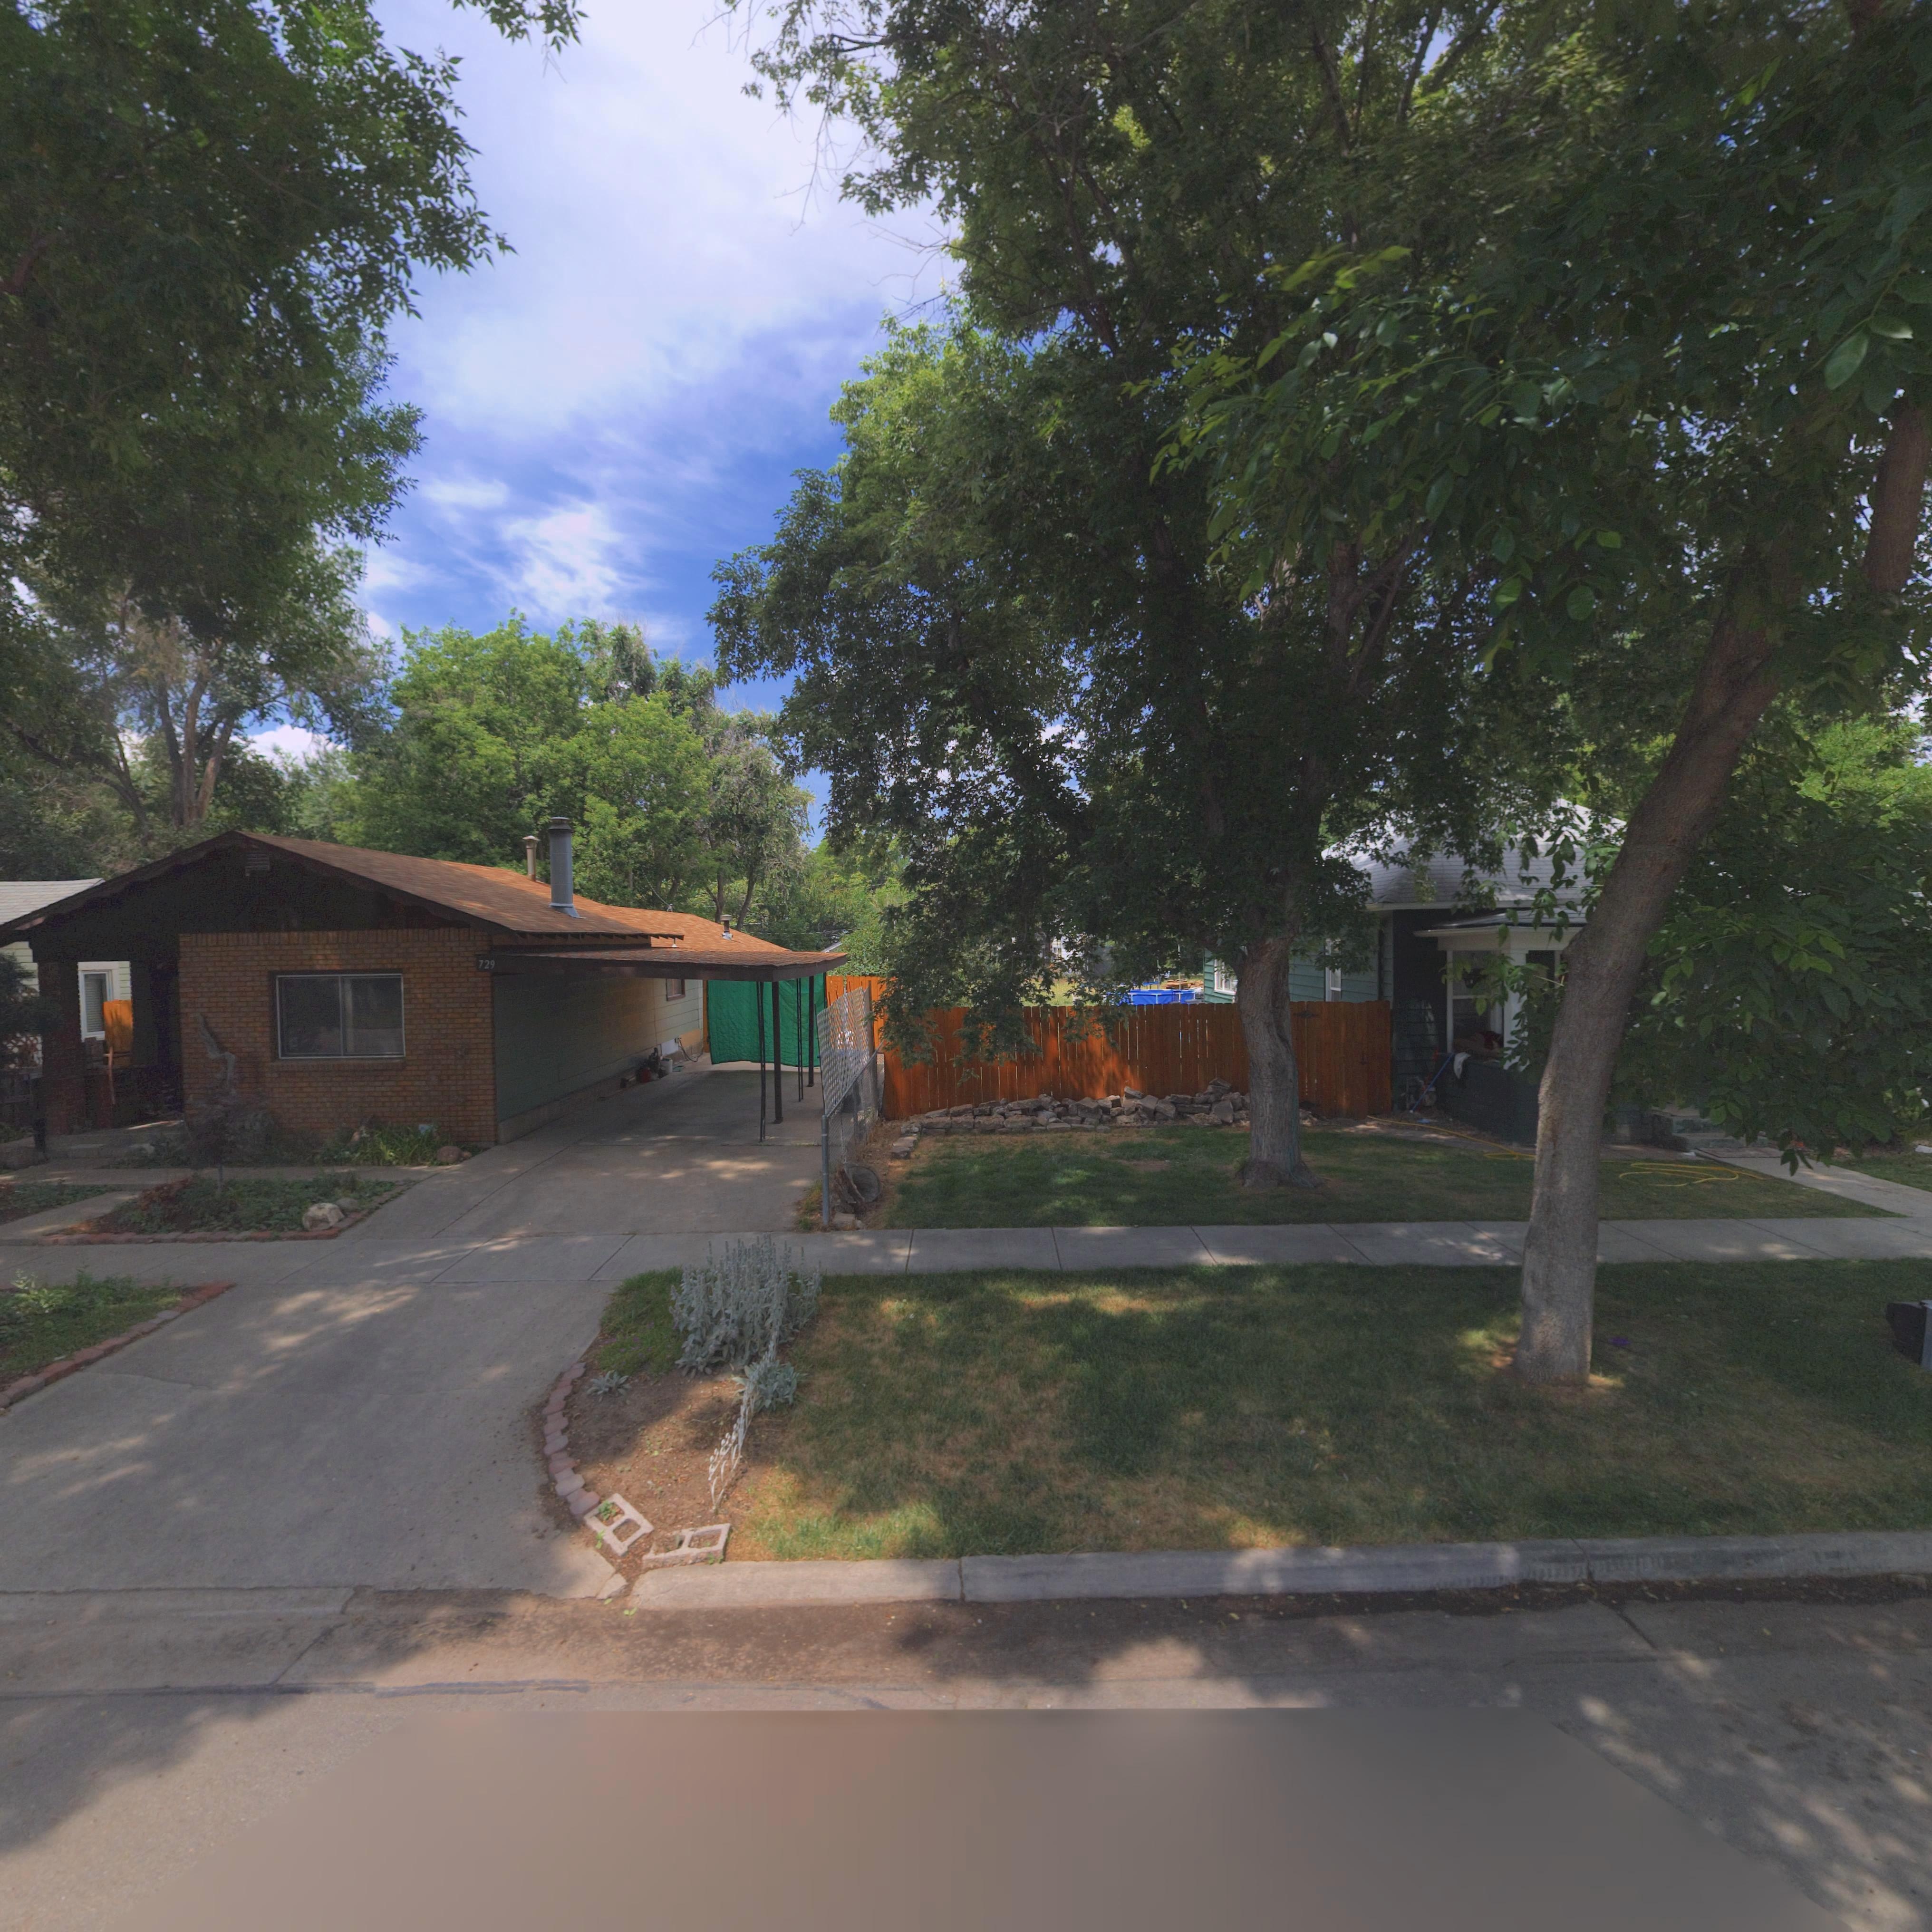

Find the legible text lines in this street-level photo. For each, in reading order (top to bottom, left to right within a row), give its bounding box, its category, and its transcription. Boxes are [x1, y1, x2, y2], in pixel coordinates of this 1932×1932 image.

[478, 959, 495, 969] StreetNumber: 729